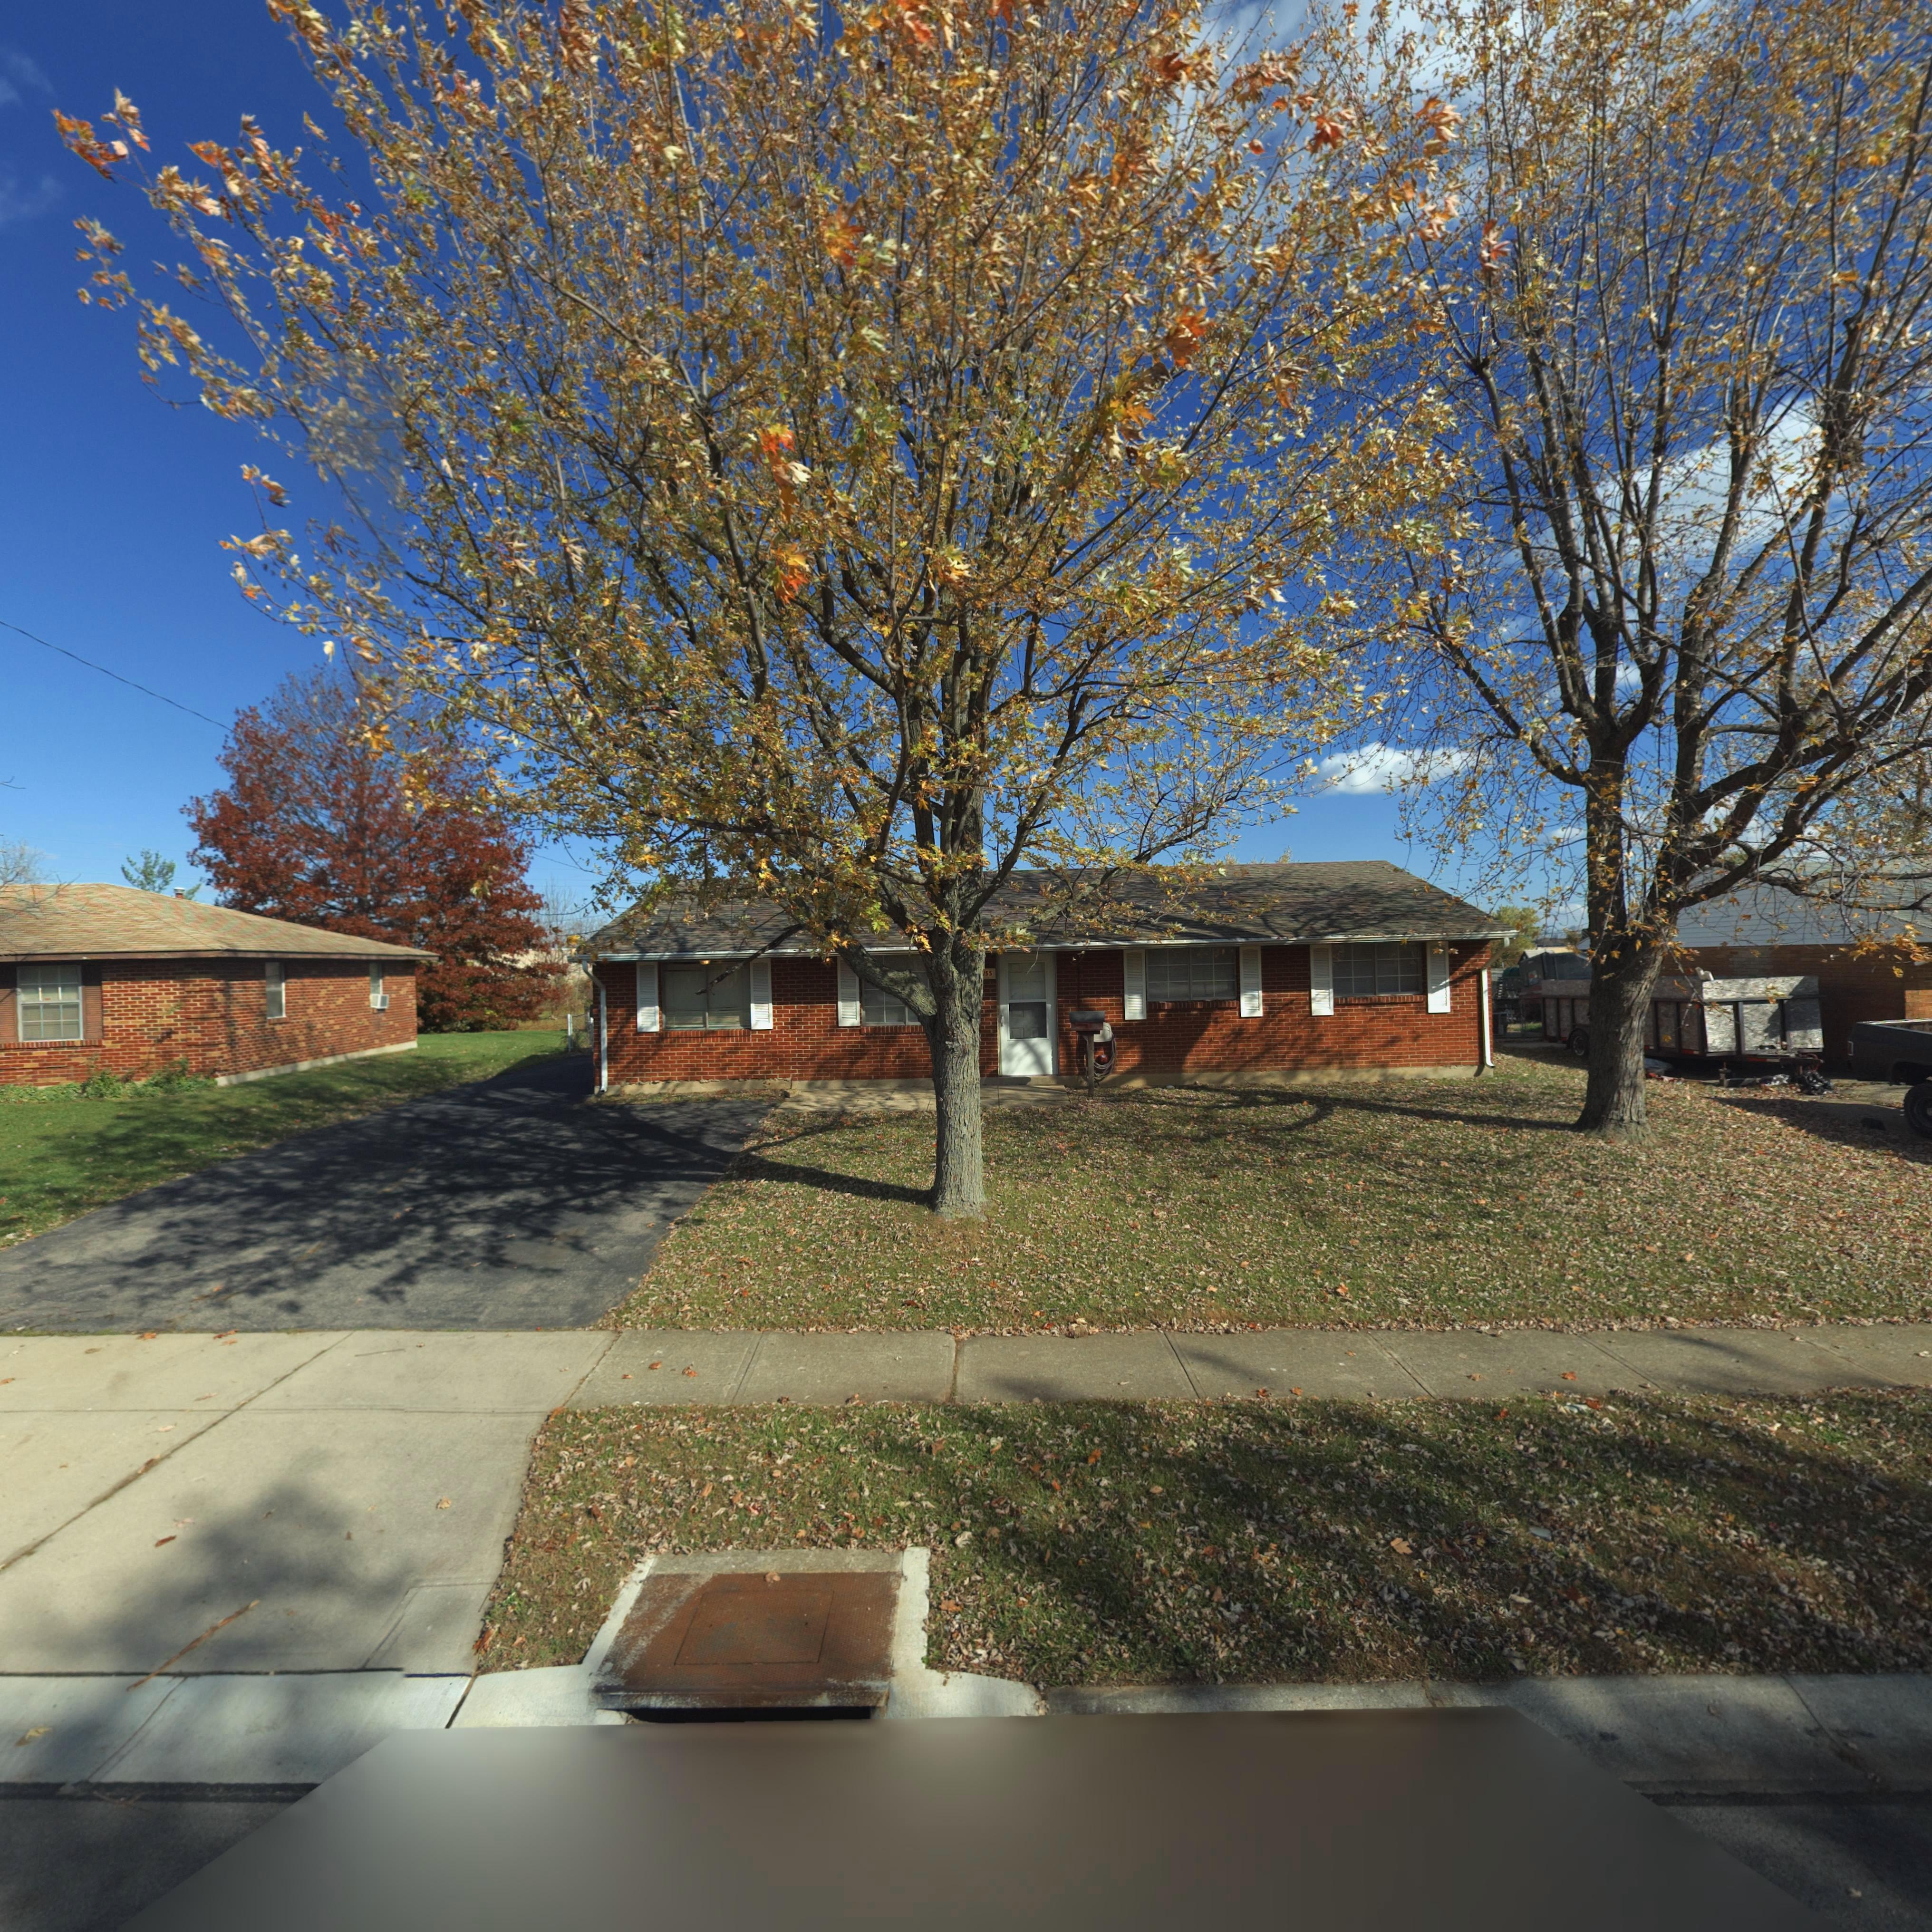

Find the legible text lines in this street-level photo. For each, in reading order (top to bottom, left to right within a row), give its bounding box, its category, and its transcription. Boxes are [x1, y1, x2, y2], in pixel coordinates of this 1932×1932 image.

[983, 970, 993, 976] StreetNumber: 155